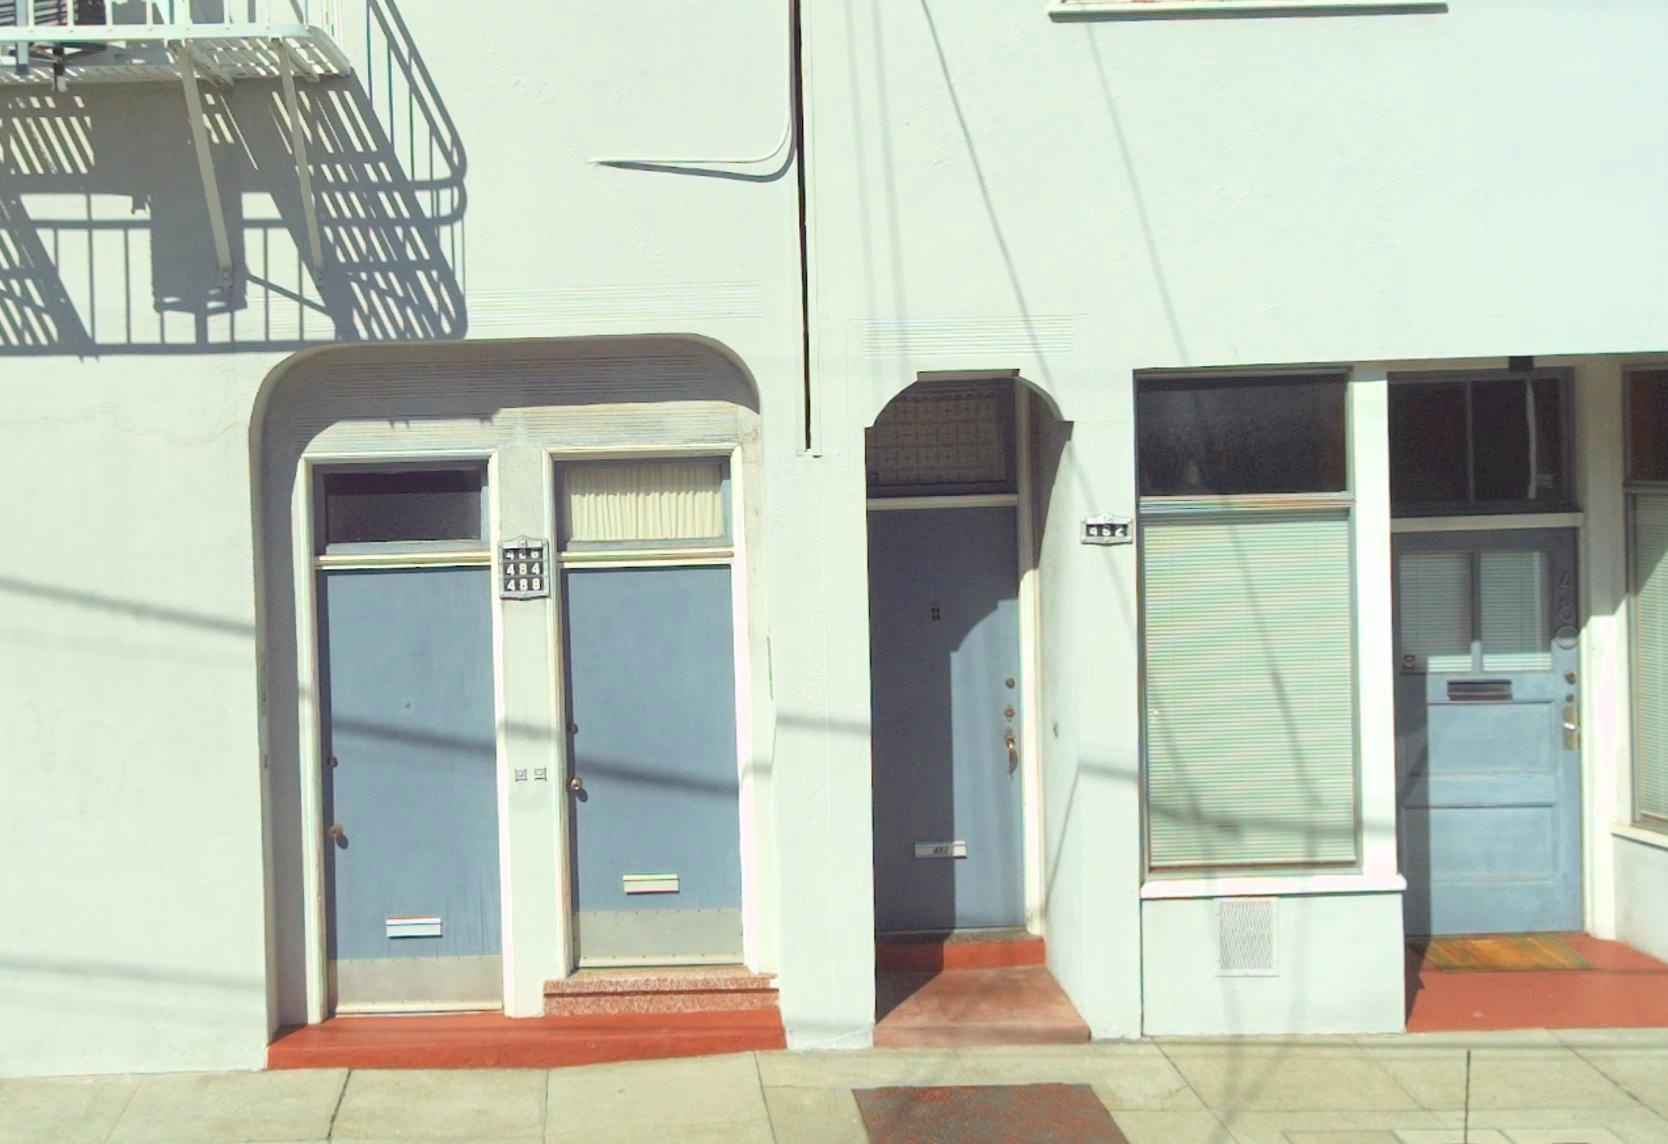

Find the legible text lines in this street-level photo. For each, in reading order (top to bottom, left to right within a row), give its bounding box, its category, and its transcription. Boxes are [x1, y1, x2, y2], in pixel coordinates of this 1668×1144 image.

[1087, 523, 1125, 538] StreetNumber: 462
[504, 547, 541, 560] None: 4*6
[505, 561, 541, 578] StreetNumber: 484
[504, 575, 542, 592] StreetNumber: 488